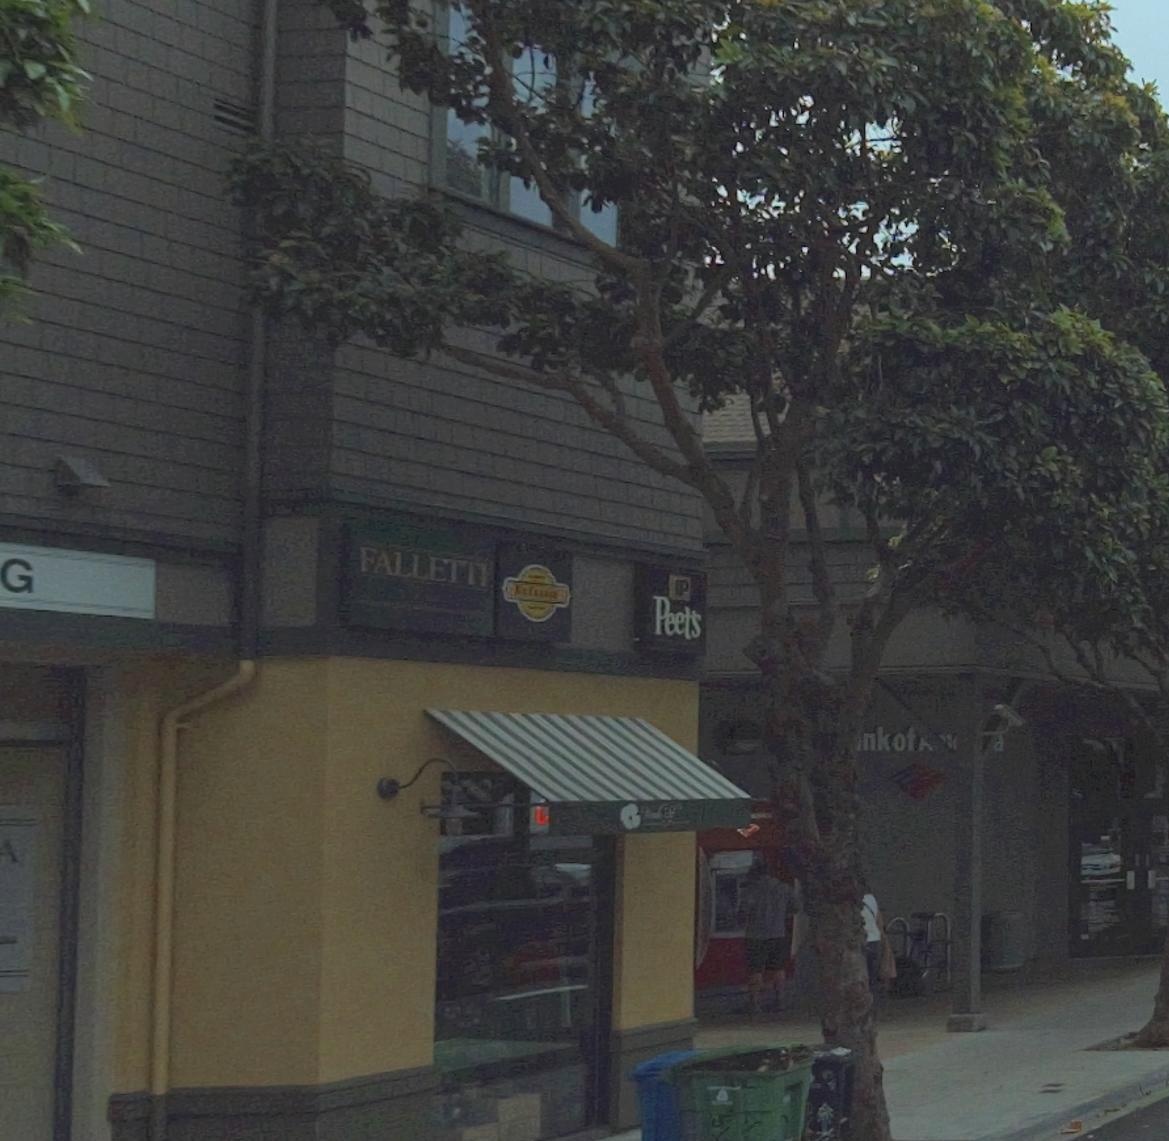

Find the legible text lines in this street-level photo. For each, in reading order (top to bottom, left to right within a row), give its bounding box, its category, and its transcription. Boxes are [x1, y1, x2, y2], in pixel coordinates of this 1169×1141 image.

[0, 556, 35, 595] None: G
[358, 543, 494, 589] BusinessName: FALLETTI
[677, 578, 691, 598] None: P
[652, 595, 703, 641] BusinessName: Peet's
[862, 724, 918, 753] BusinessName: nk of